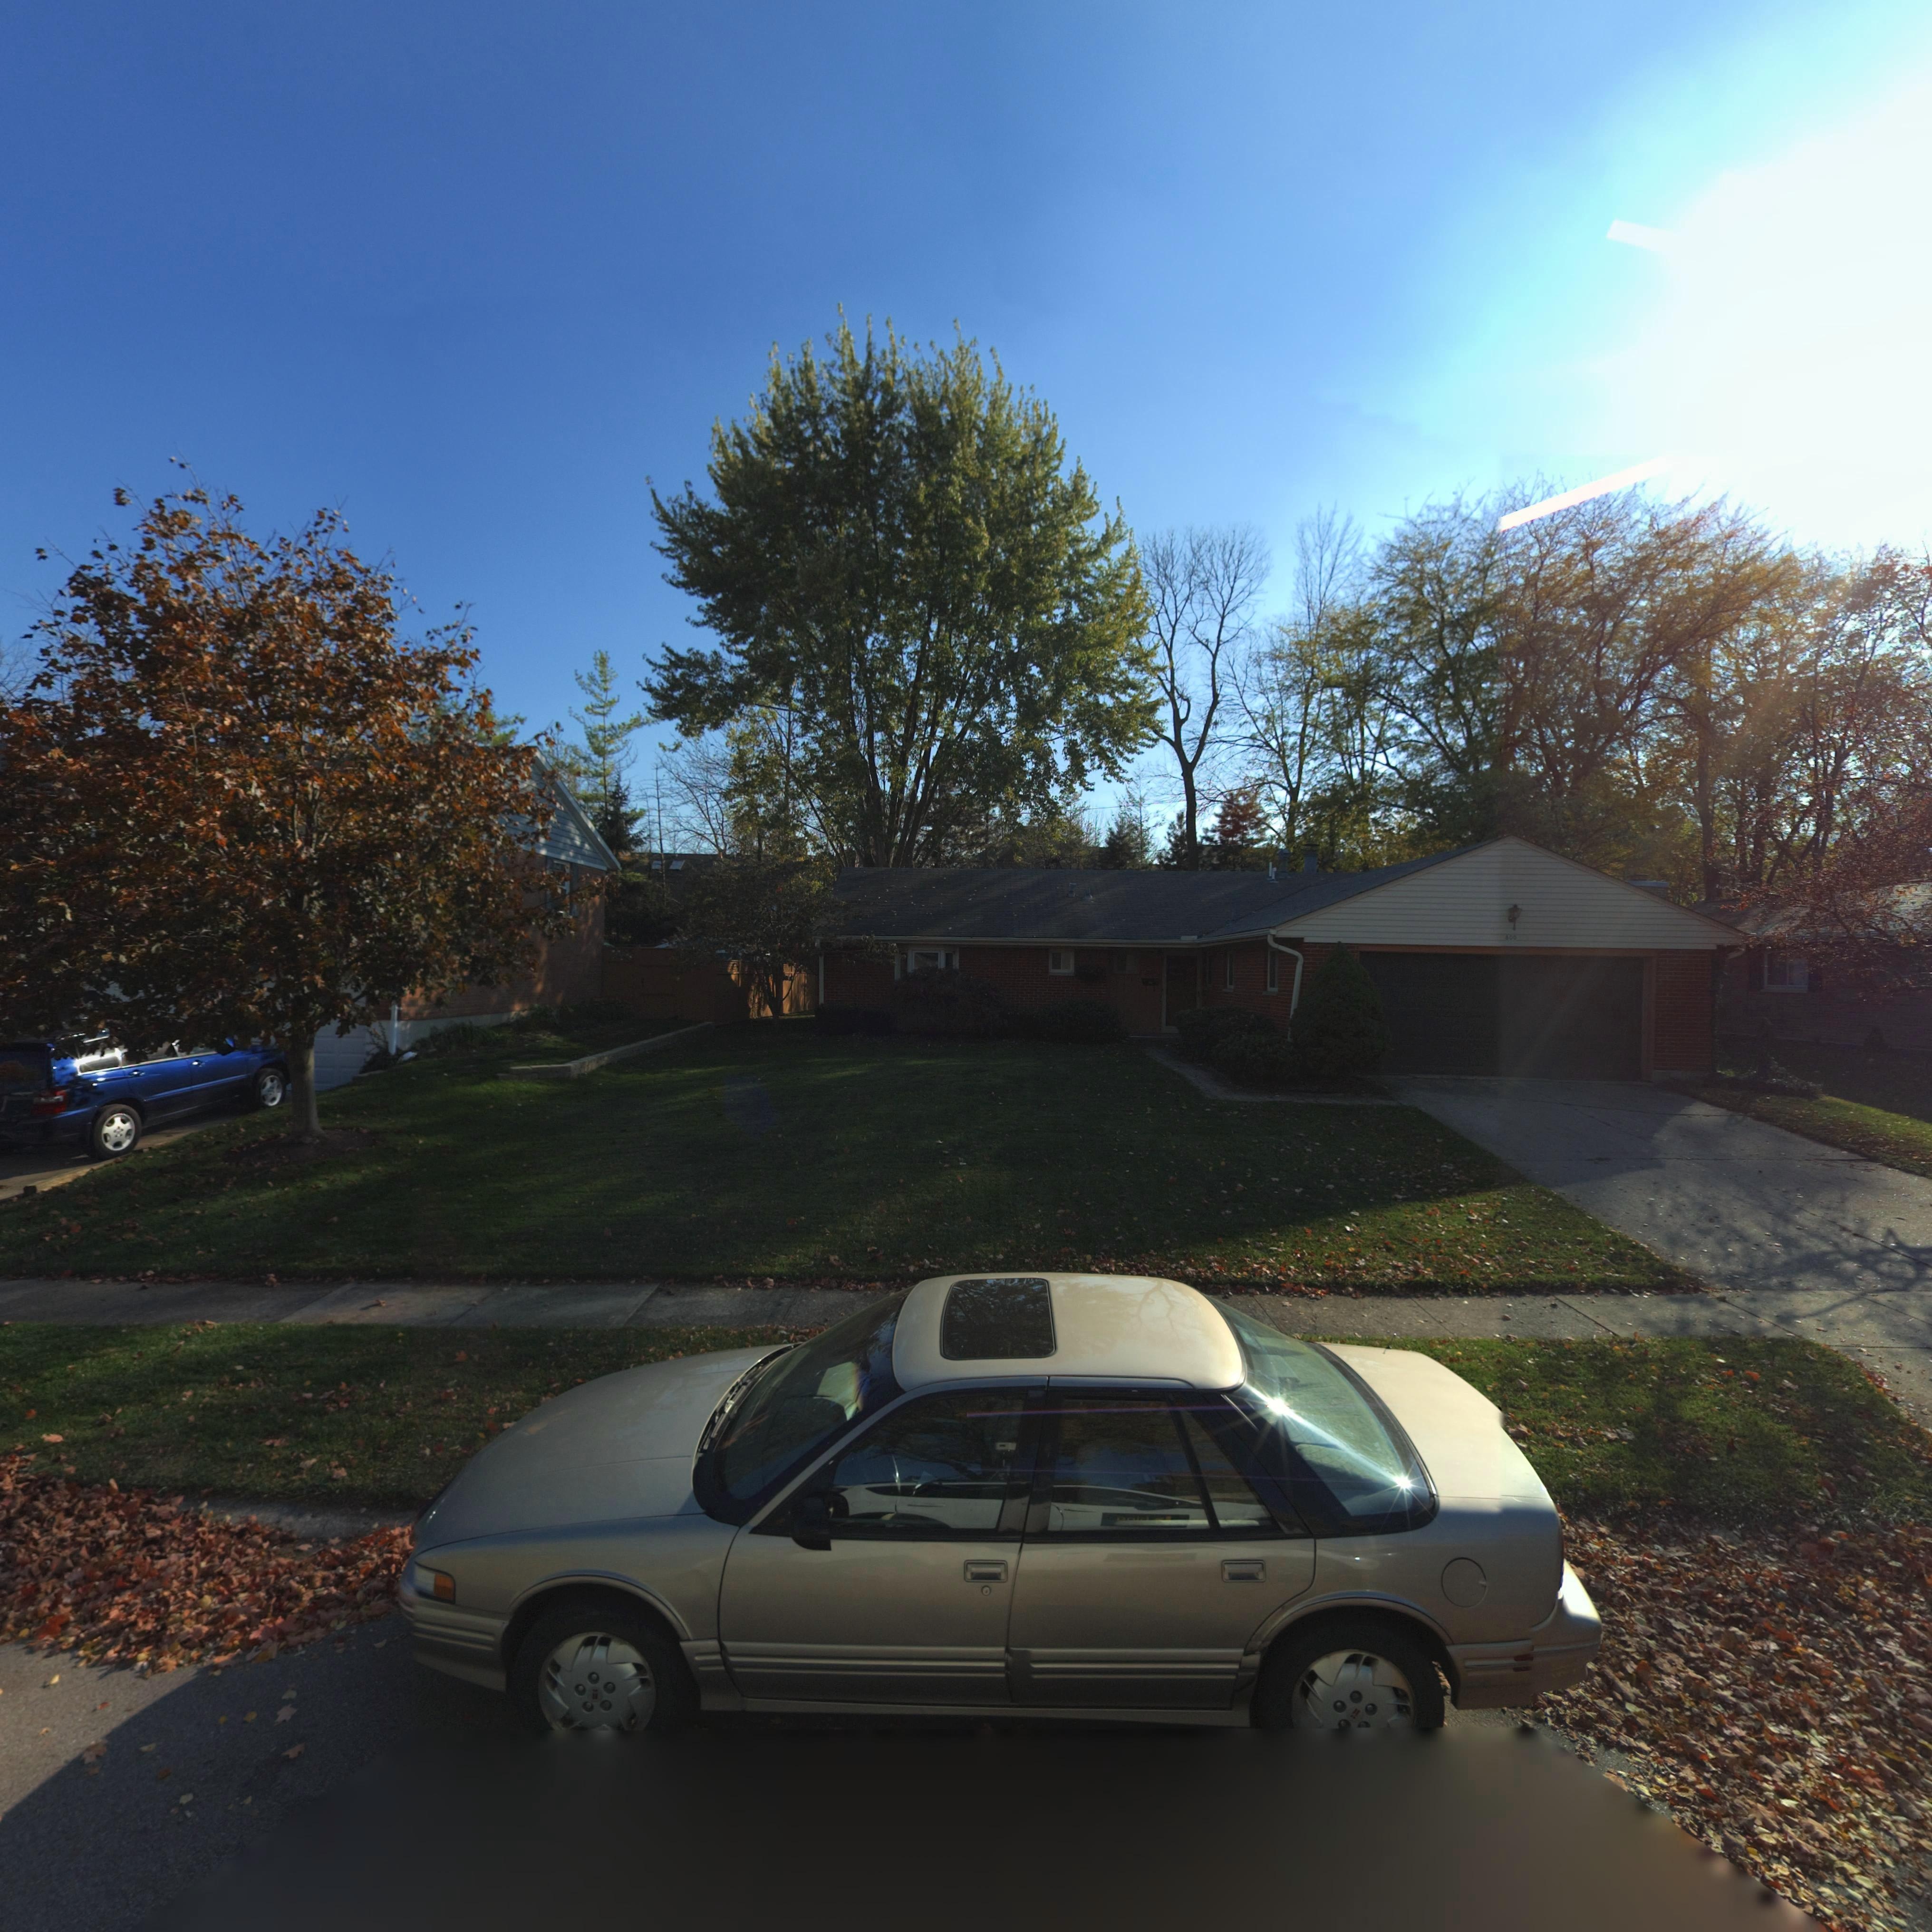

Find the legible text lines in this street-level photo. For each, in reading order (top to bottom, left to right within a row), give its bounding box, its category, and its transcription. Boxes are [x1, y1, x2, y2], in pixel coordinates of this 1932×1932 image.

[1505, 934, 1517, 941] StreetNumber: 800